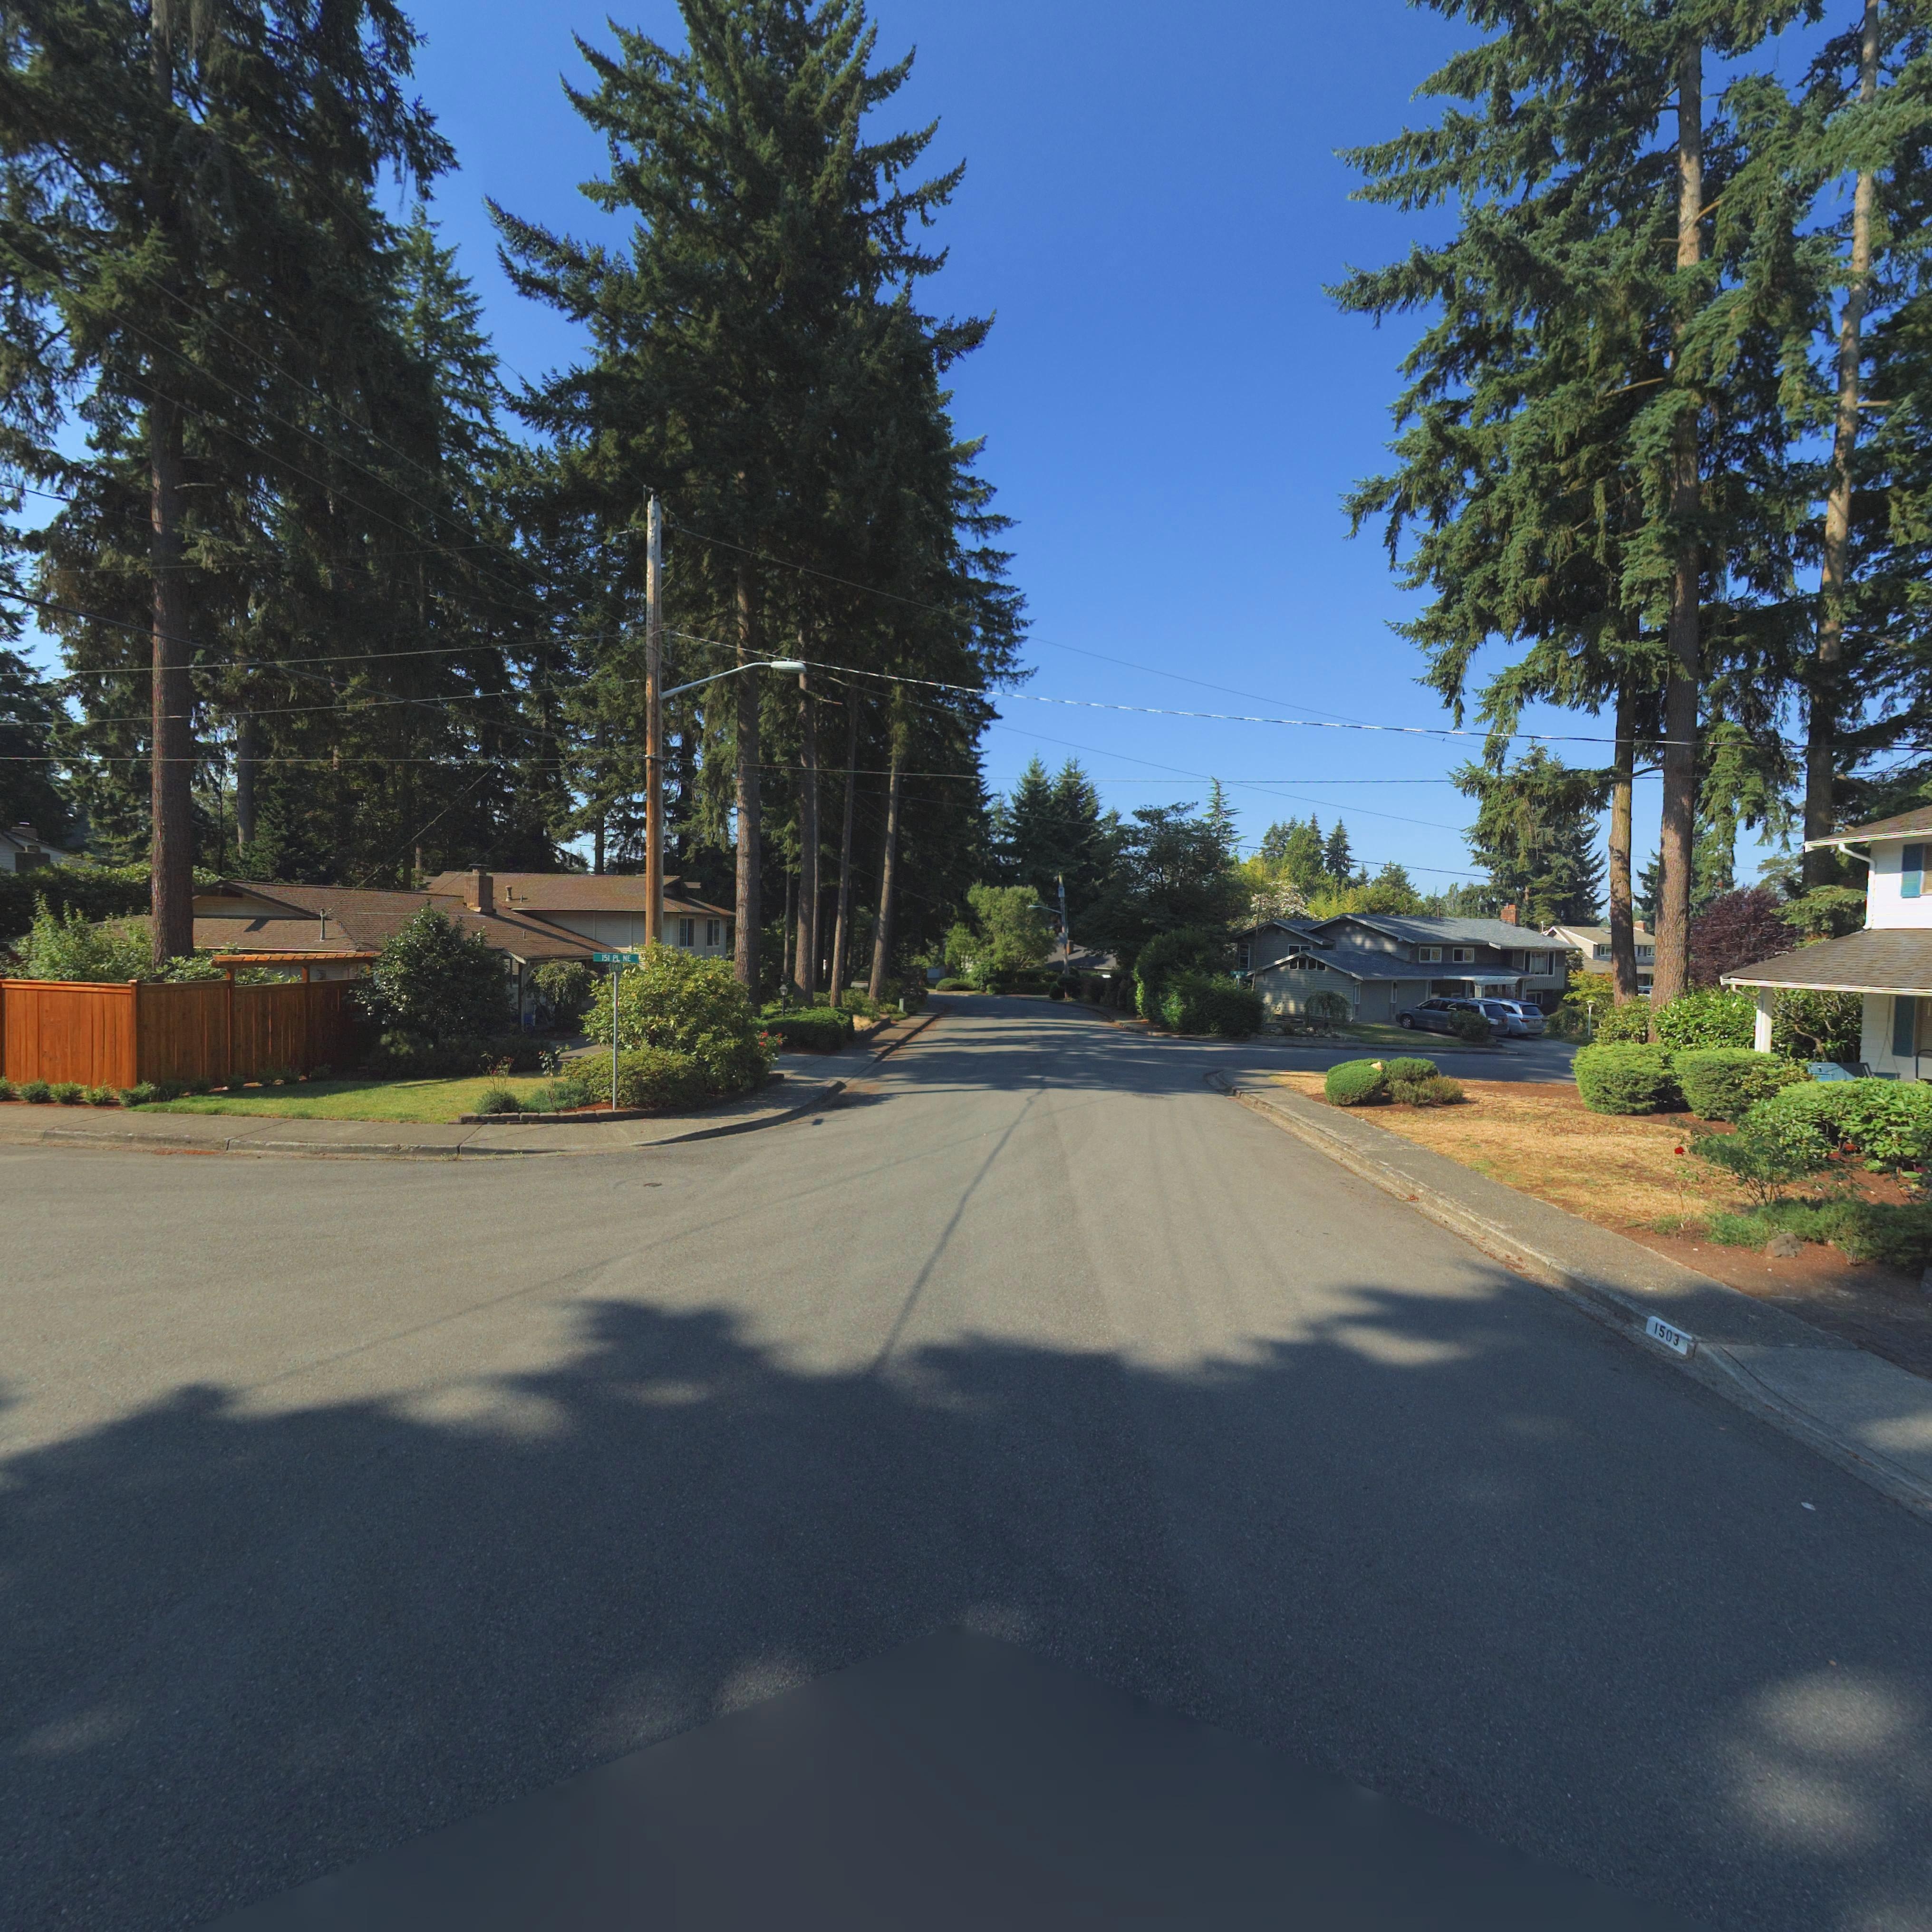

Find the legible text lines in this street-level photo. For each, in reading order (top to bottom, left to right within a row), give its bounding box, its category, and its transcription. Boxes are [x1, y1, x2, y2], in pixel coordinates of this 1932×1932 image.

[601, 954, 631, 962] StreetName: 151 PL NE
[1653, 1321, 1681, 1347] StreetNumber: 1503